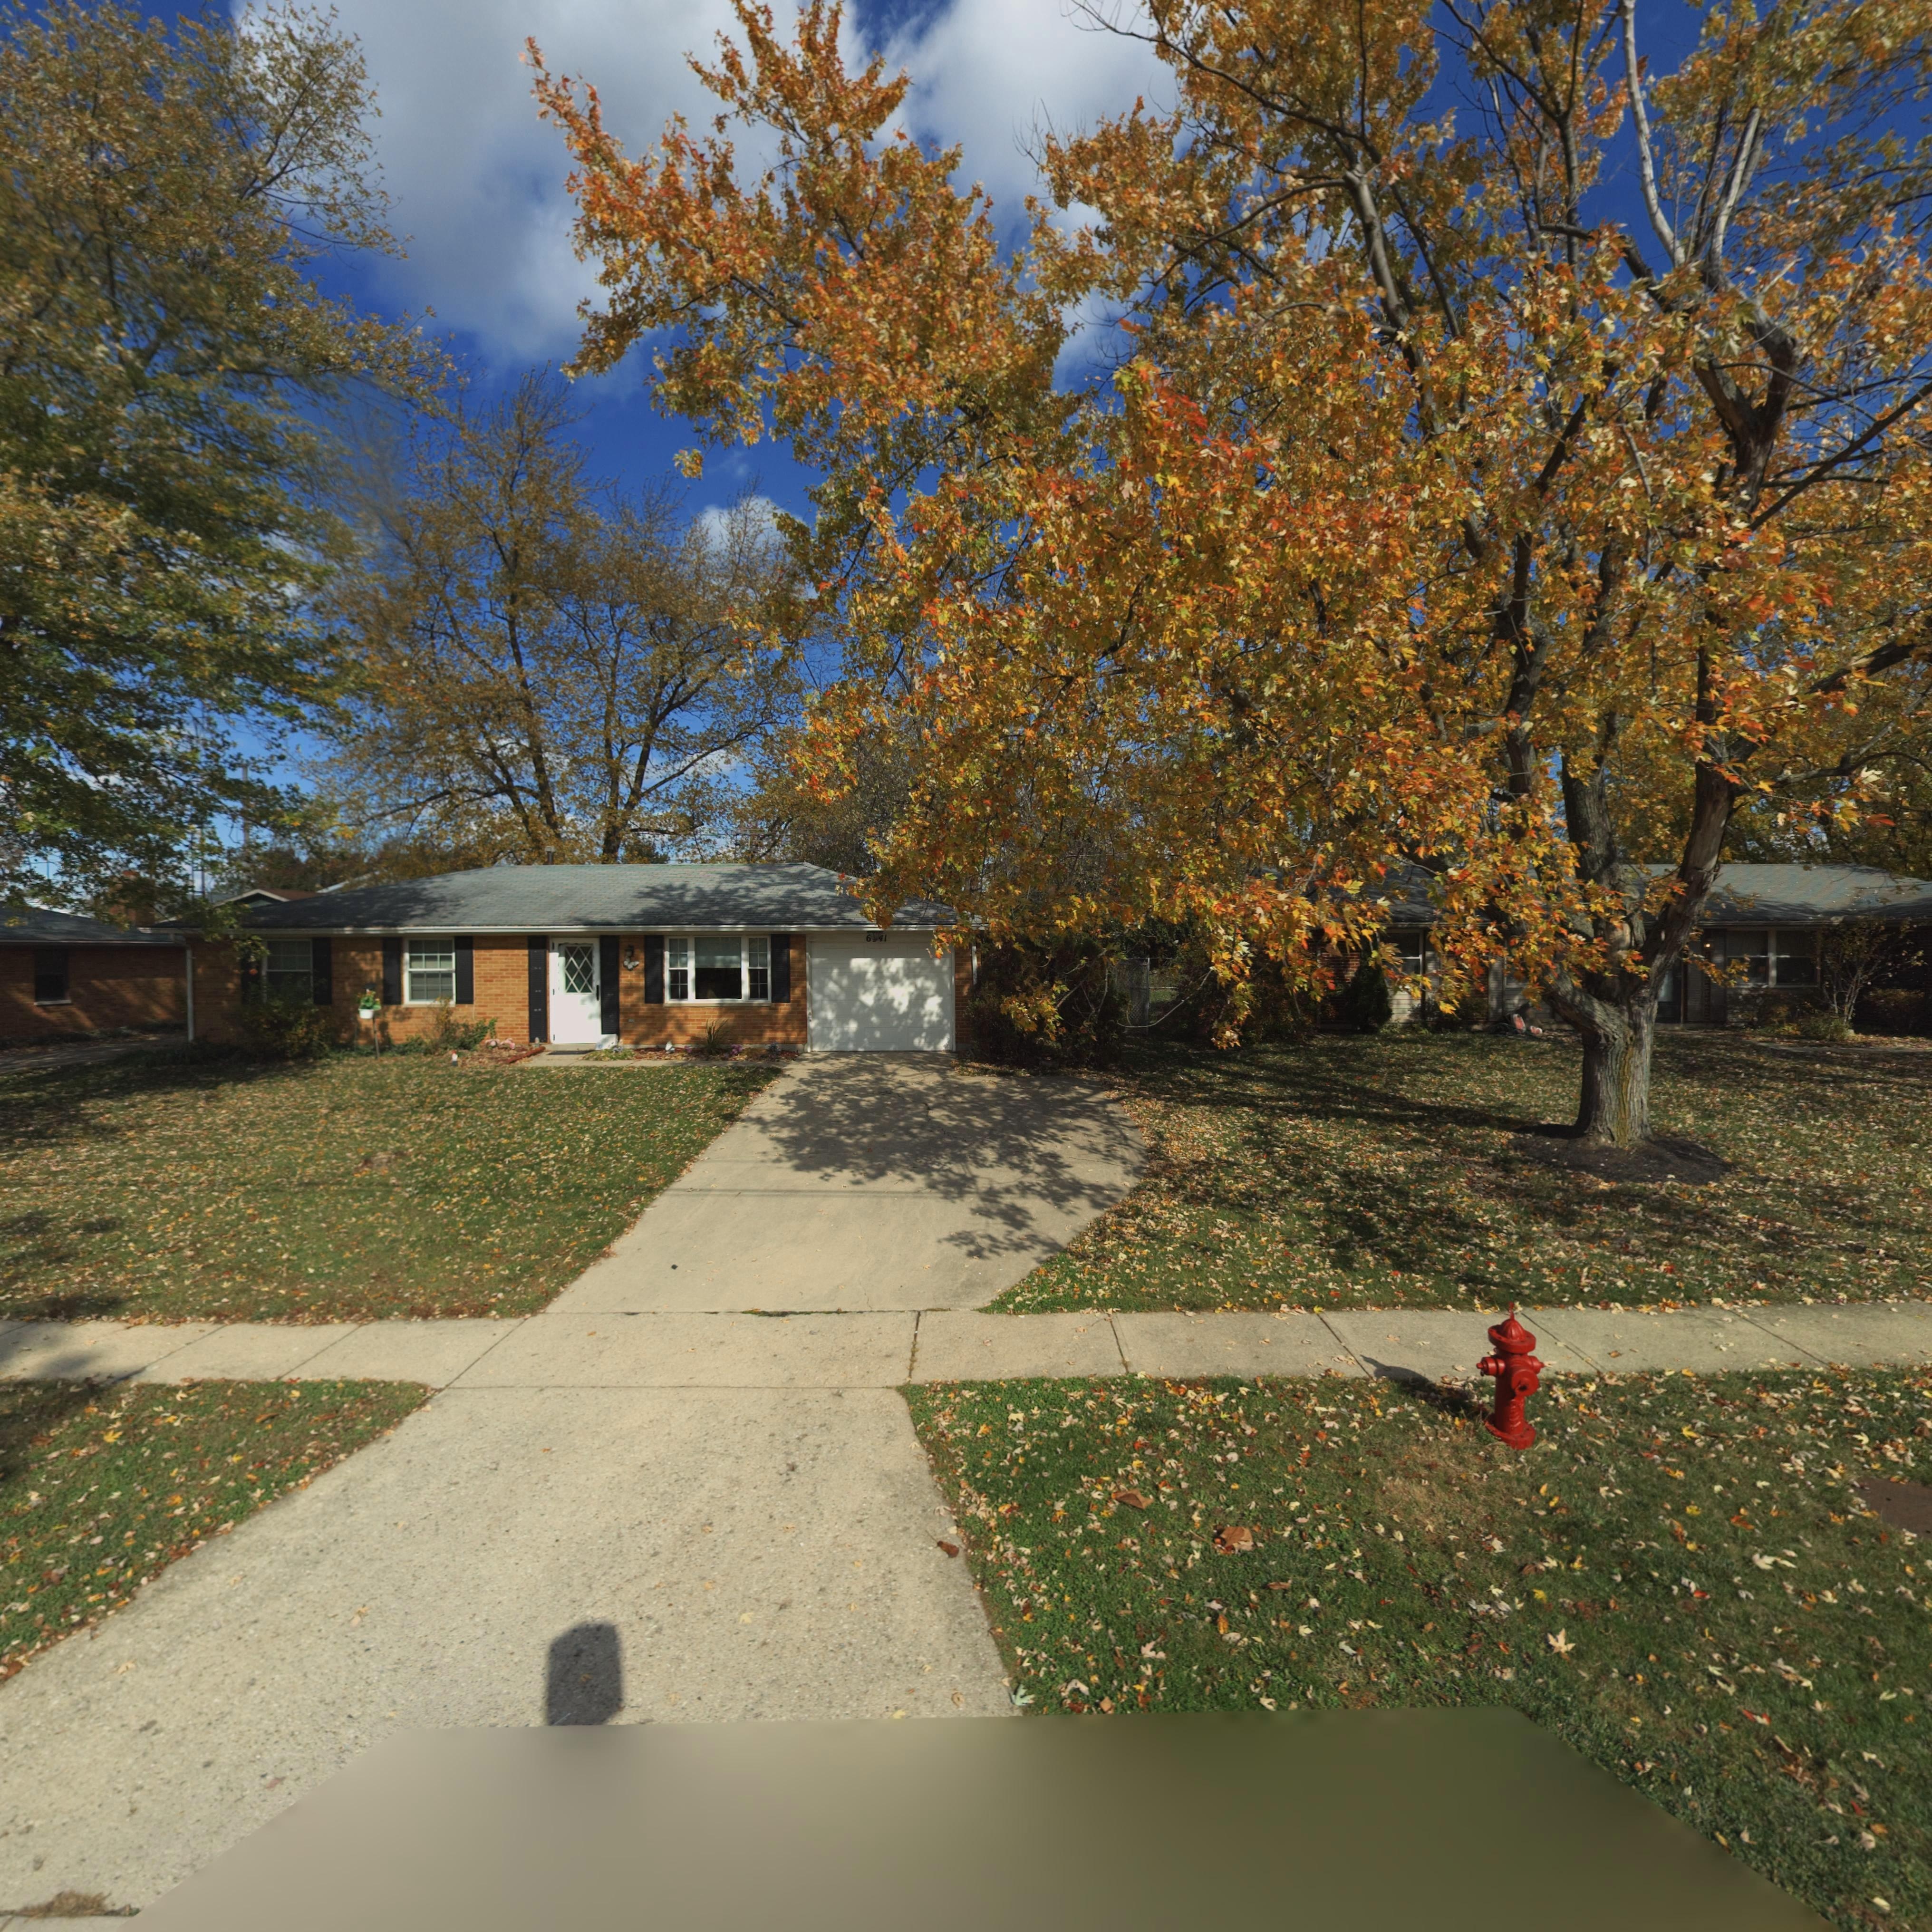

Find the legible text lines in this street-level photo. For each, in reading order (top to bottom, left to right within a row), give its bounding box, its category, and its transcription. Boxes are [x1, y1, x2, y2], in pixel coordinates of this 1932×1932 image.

[866, 934, 887, 942] StreetNumber: 6*41